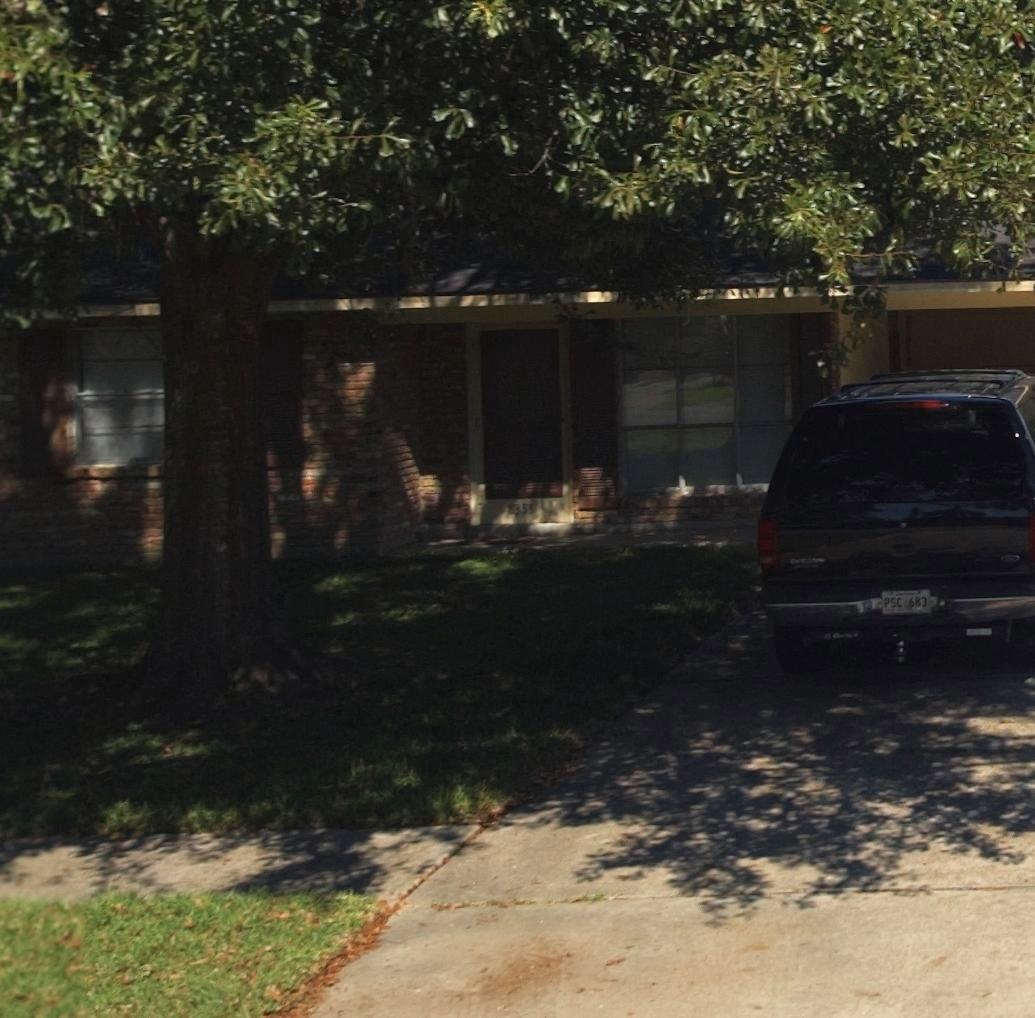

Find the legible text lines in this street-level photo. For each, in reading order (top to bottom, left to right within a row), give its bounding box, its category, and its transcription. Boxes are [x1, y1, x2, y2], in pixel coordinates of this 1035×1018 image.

[506, 502, 536, 517] StreetNumber: 83*3
[882, 594, 930, 610] None: PSC 683